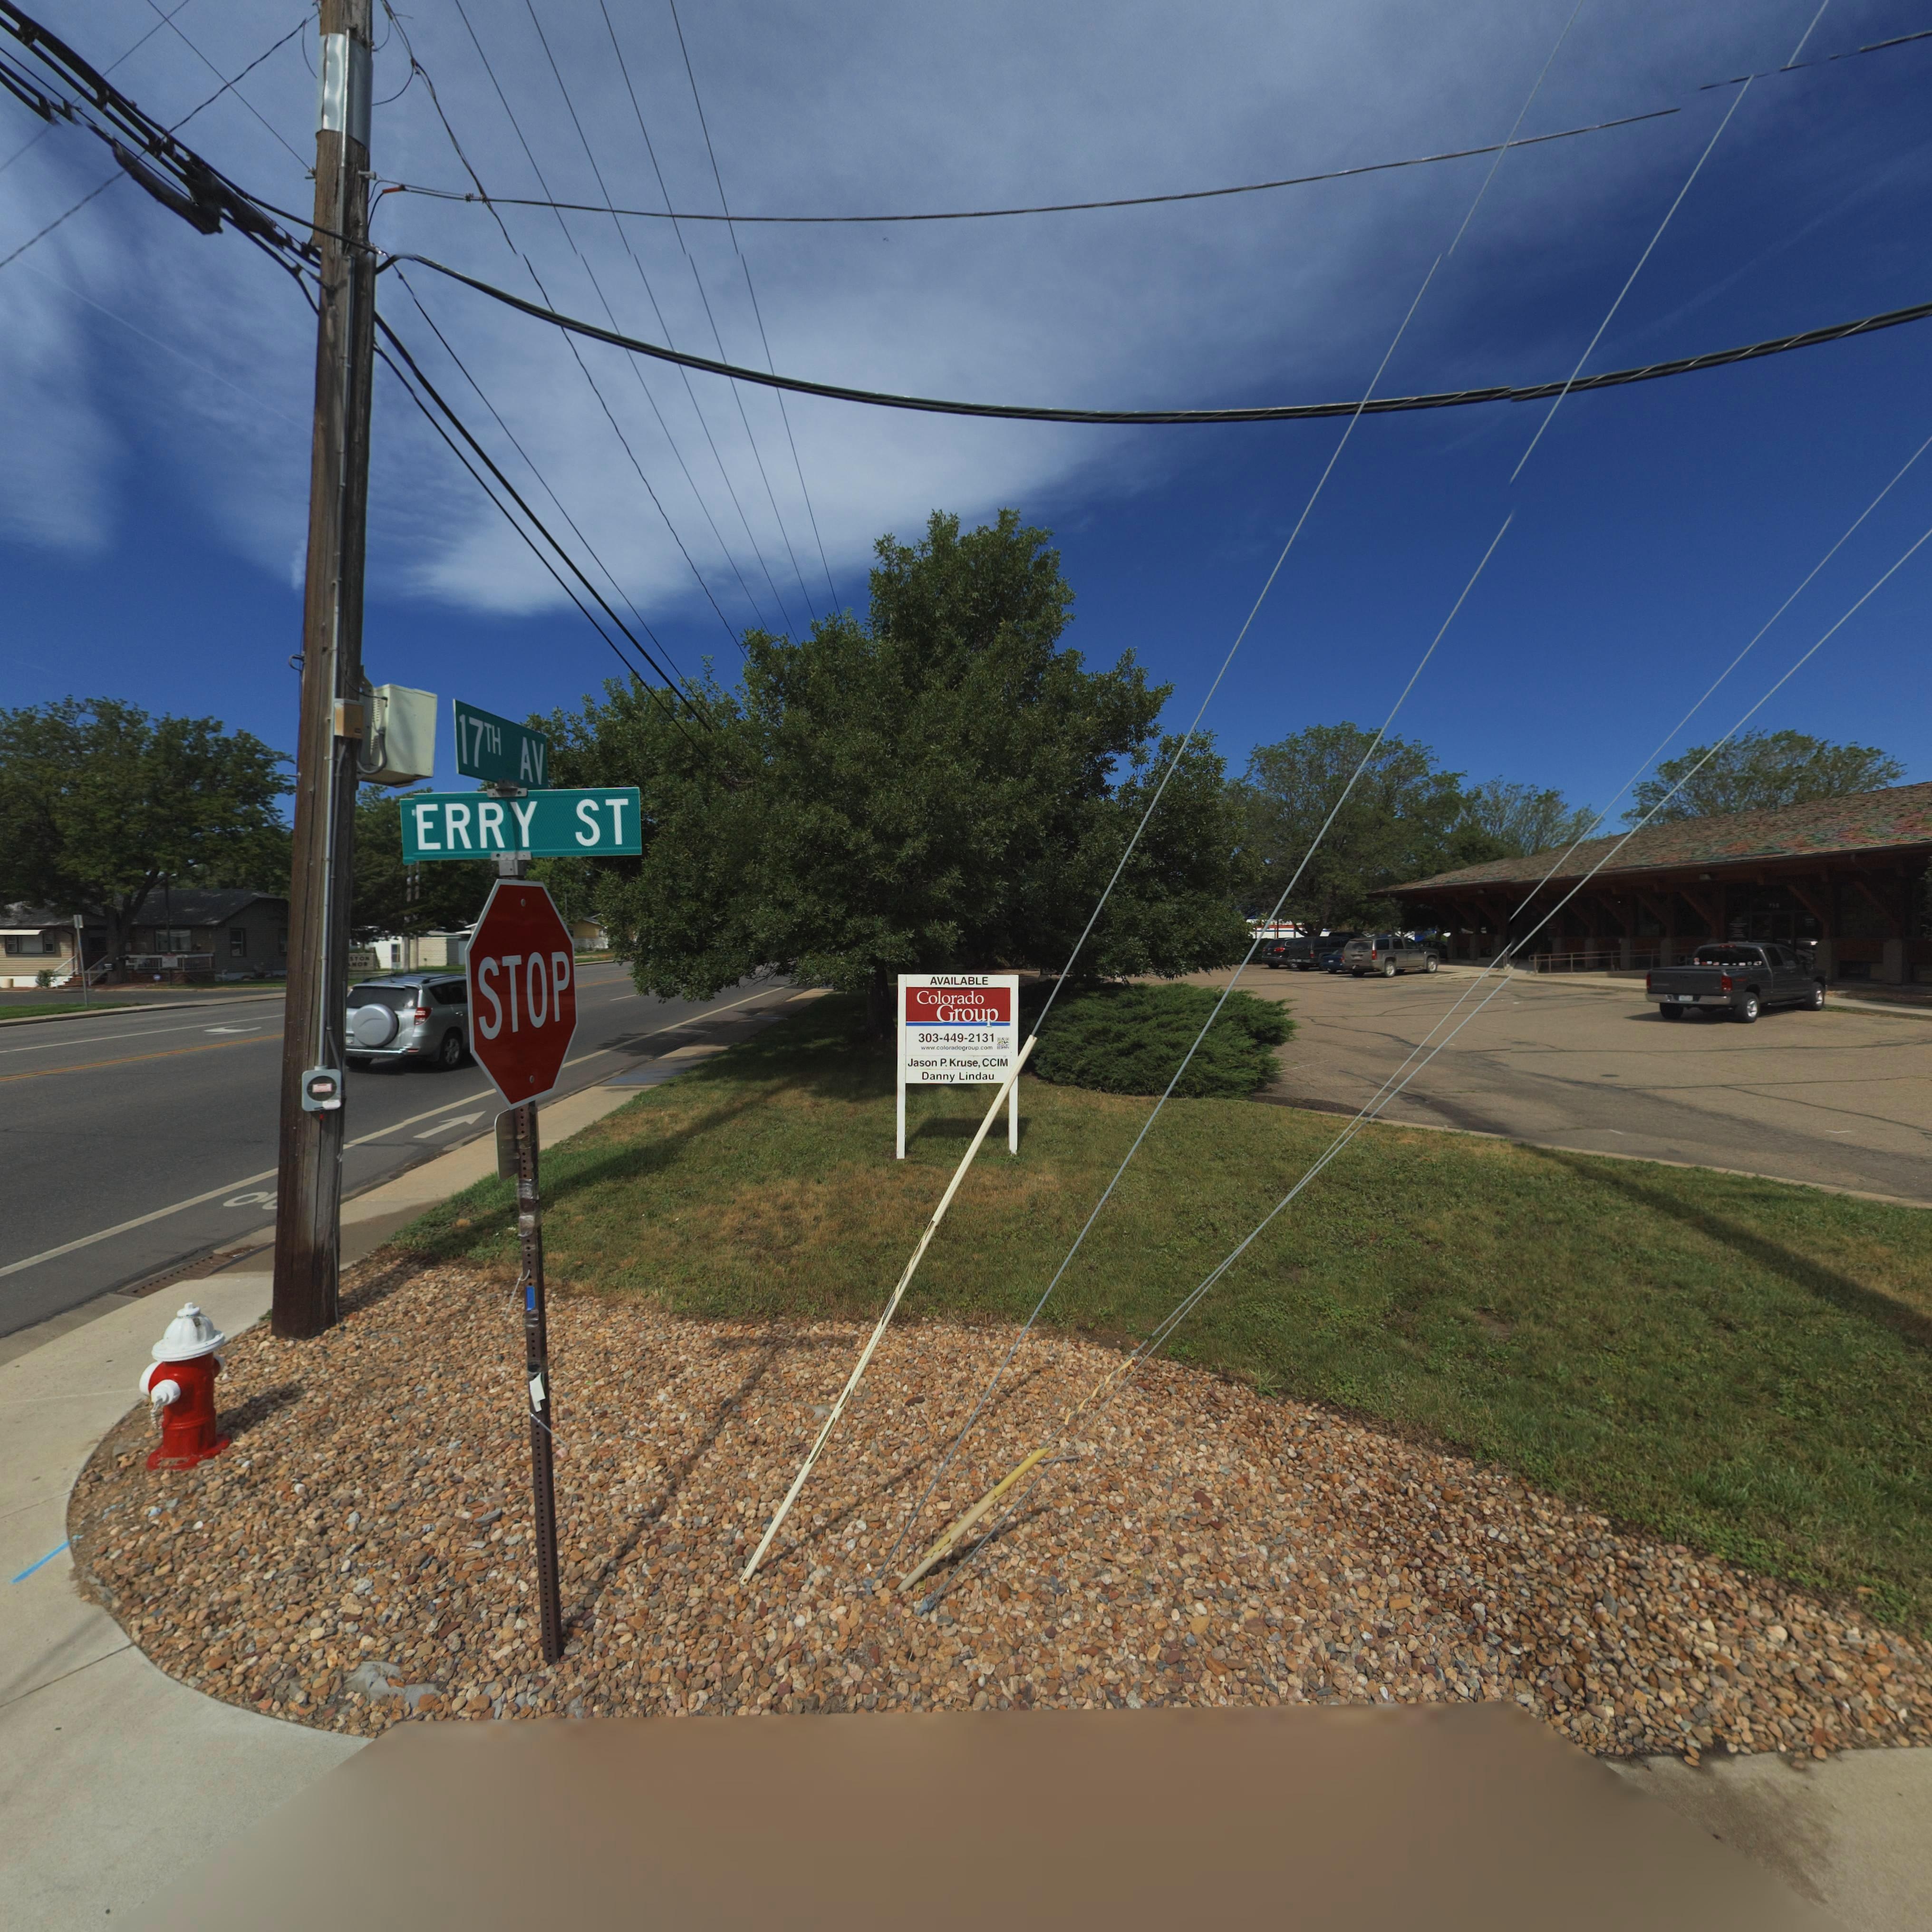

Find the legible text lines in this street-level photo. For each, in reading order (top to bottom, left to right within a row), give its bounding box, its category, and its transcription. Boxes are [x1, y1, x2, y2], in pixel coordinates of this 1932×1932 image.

[457, 710, 546, 787] StreetName: 17TH AV
[414, 797, 631, 851] StreetName: ERRY ST
[349, 956, 370, 961] BusinessName: STON
[351, 961, 368, 966] BusinessName: NOR